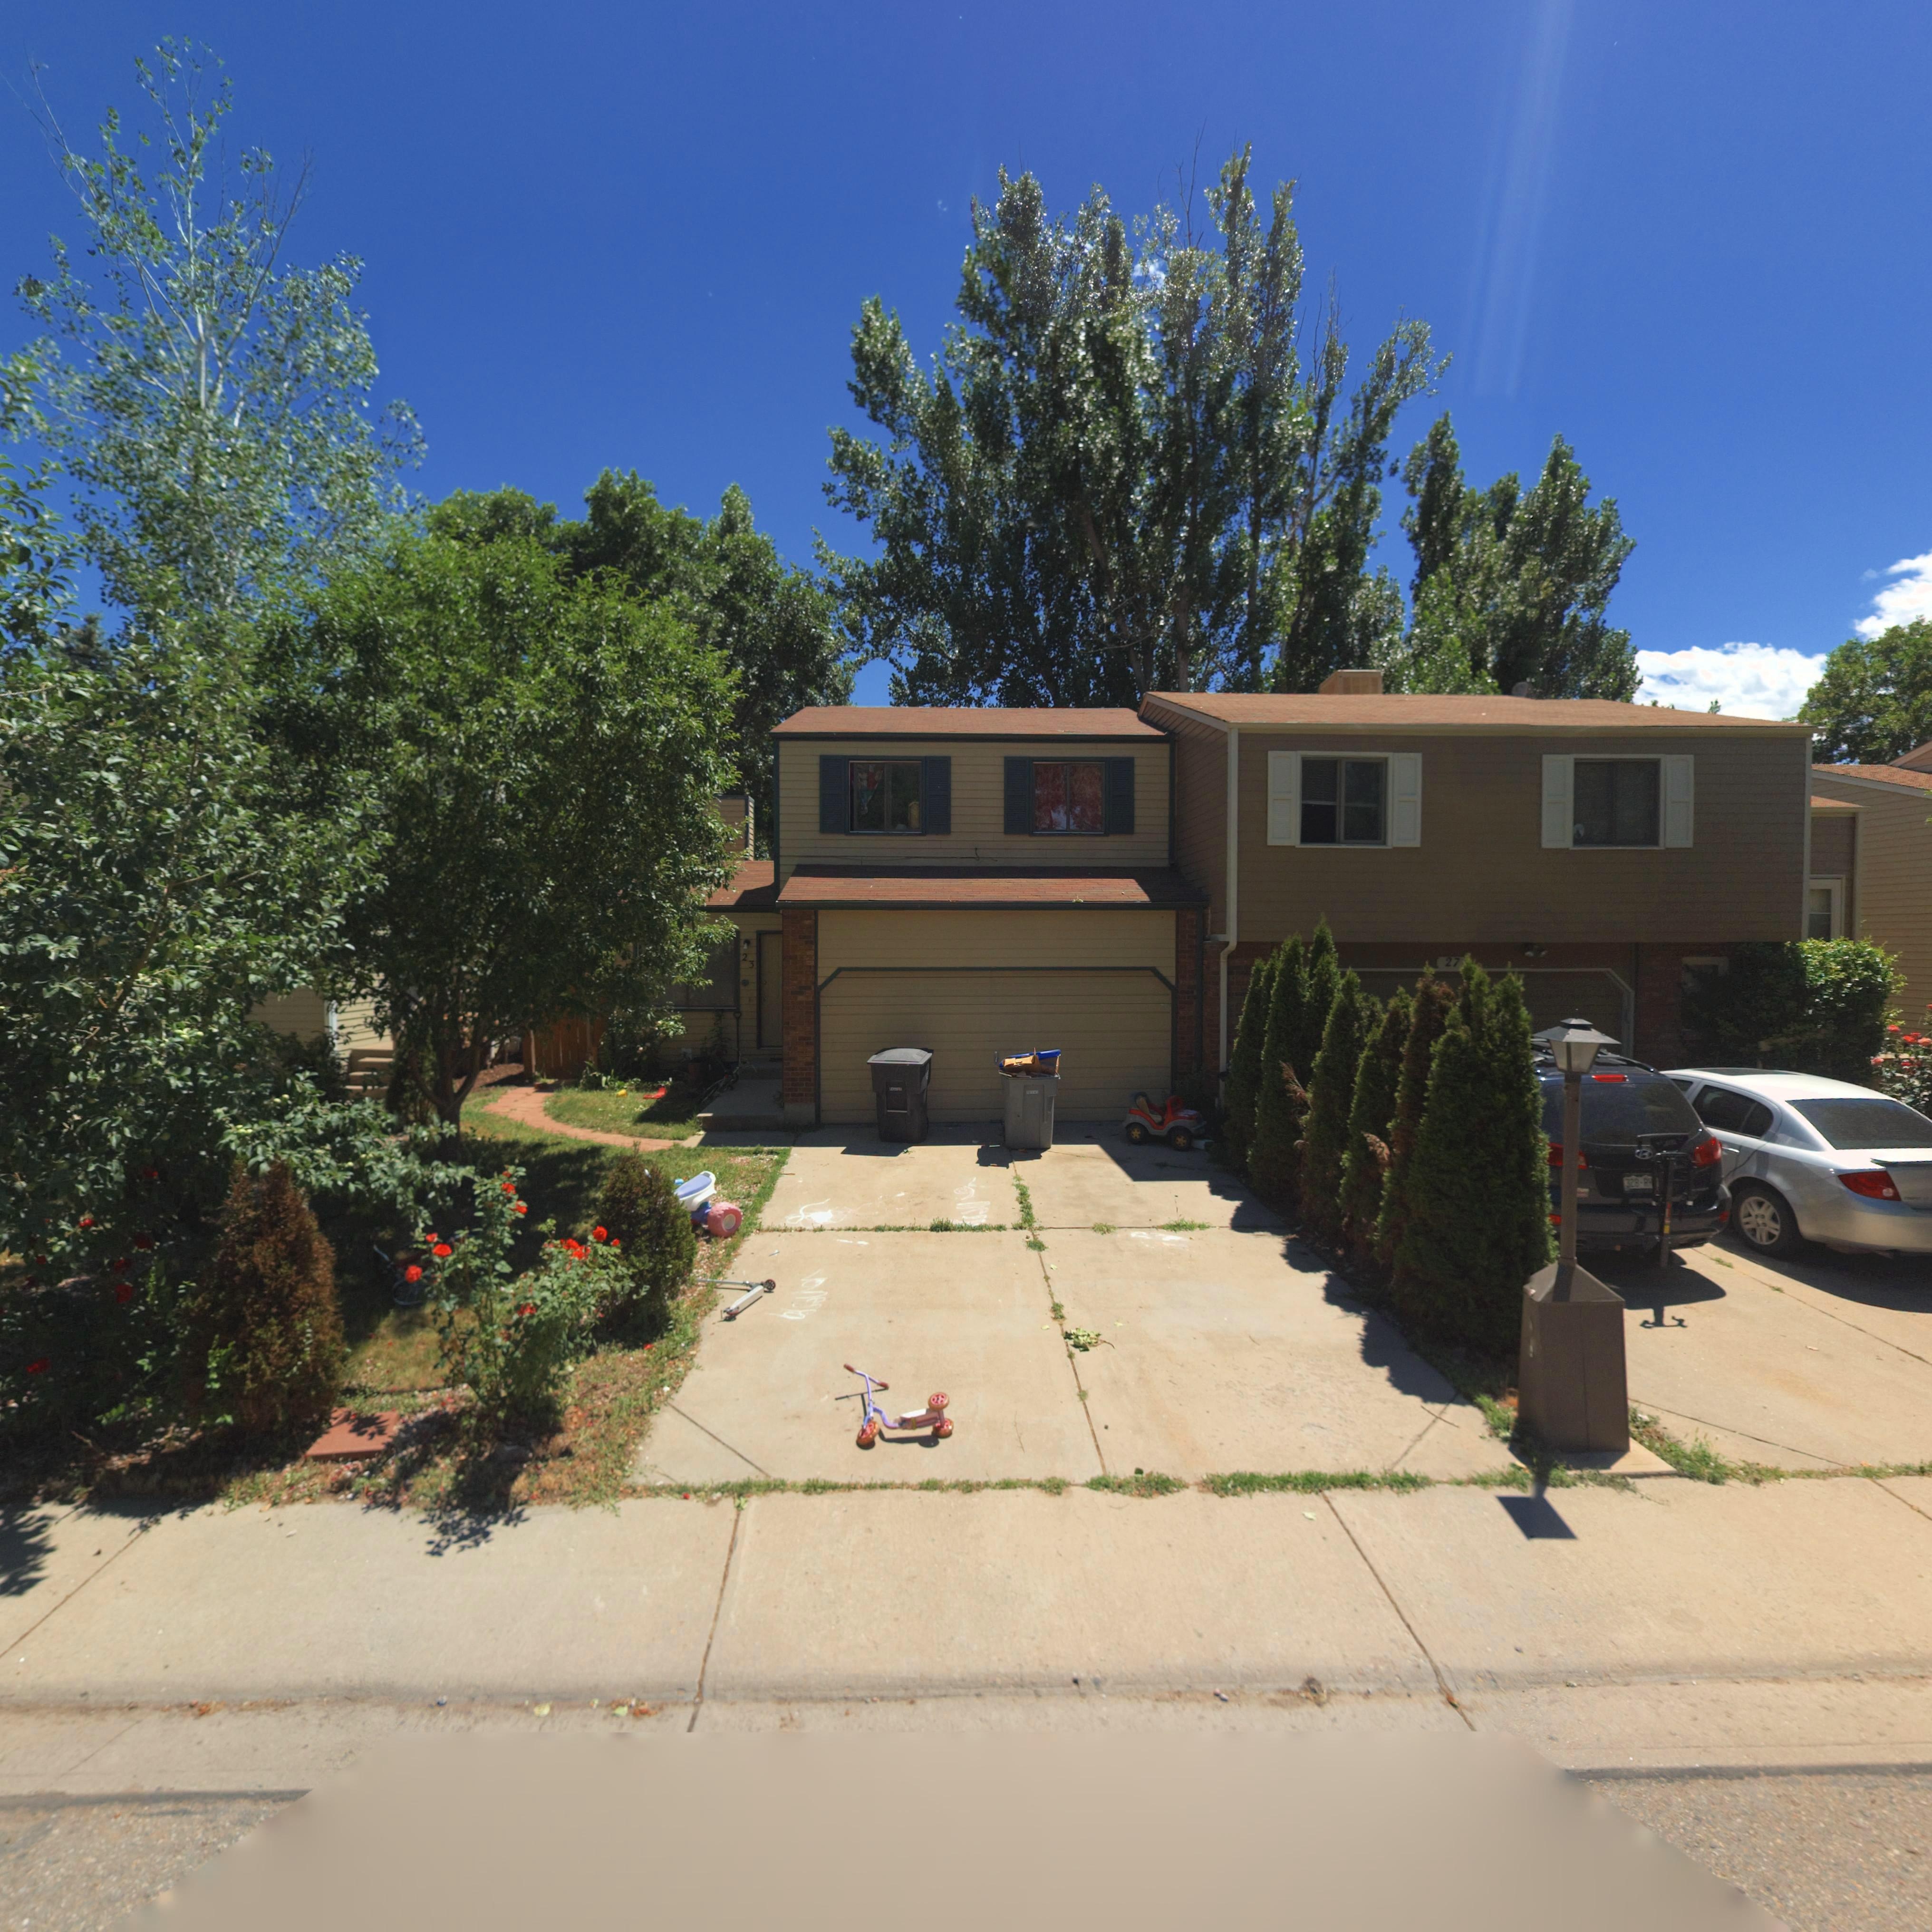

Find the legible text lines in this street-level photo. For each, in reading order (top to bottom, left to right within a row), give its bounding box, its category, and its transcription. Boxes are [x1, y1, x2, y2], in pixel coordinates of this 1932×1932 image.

[741, 953, 754, 968] StreetNumber: 23
[1444, 956, 1461, 968] StreetNumber: 27